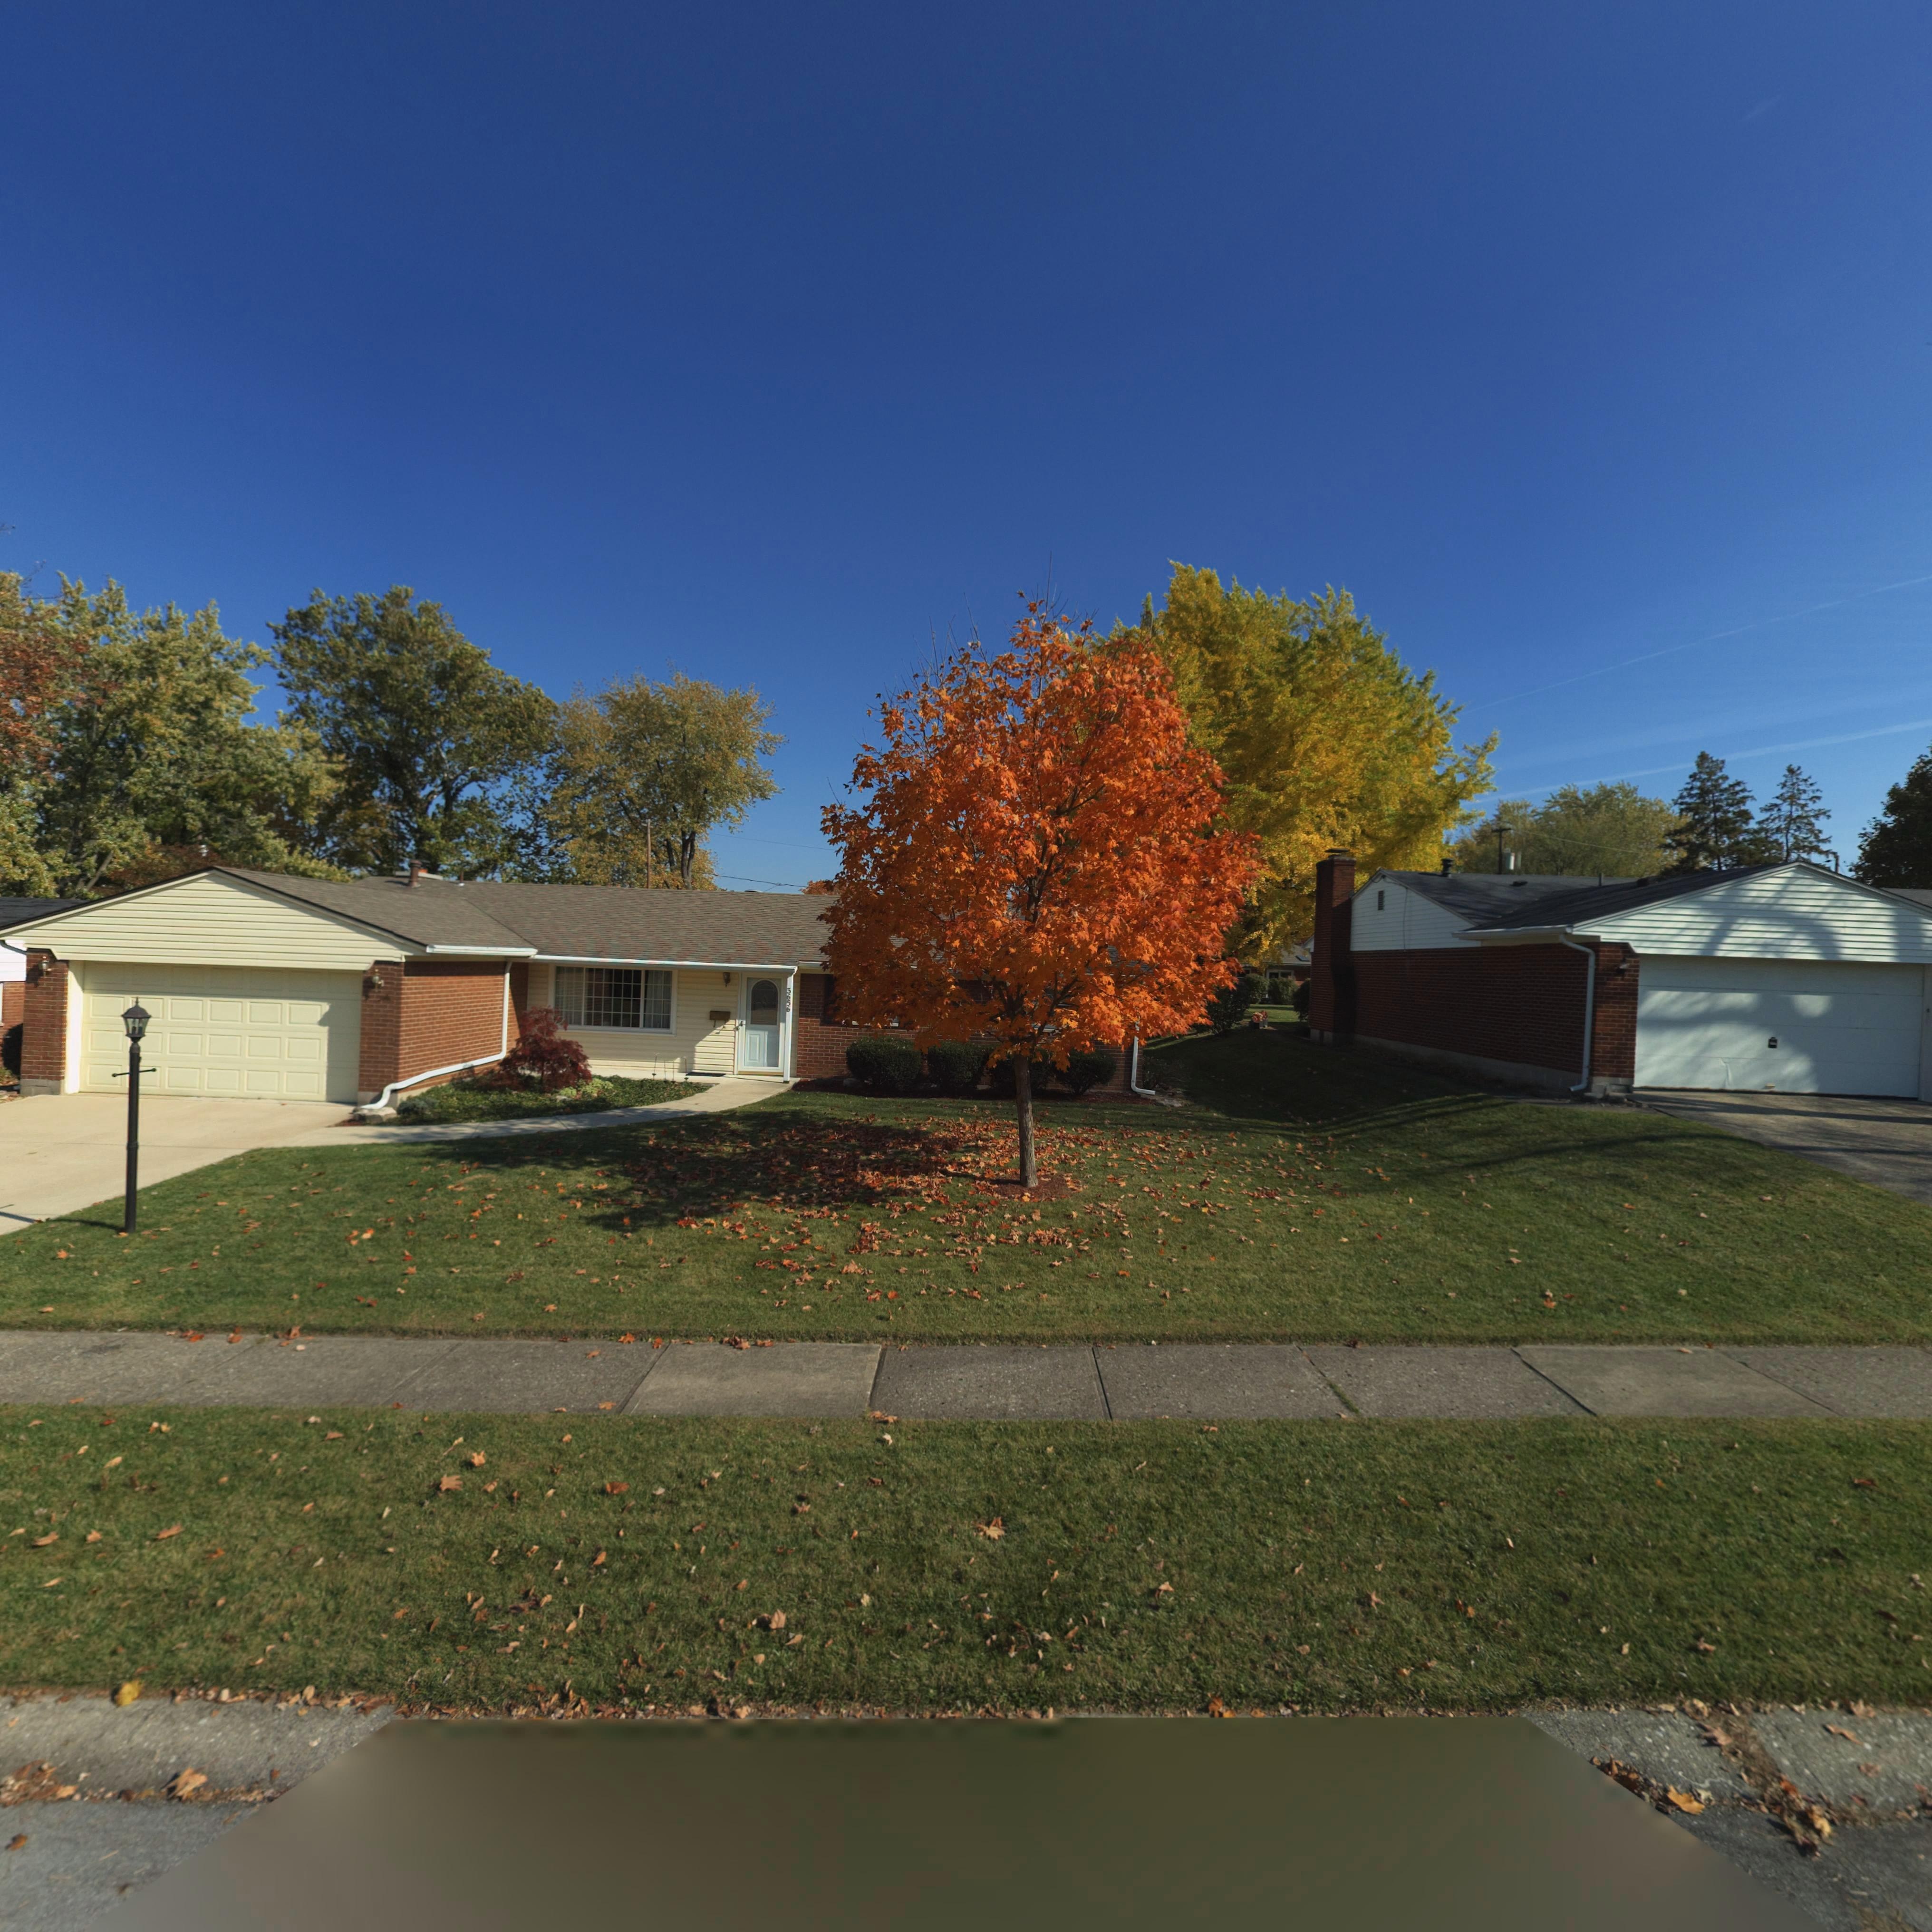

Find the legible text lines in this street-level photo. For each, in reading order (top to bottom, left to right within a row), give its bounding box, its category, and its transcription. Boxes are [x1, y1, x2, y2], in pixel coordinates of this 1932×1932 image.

[784, 986, 792, 1014] StreetNumber: 3656